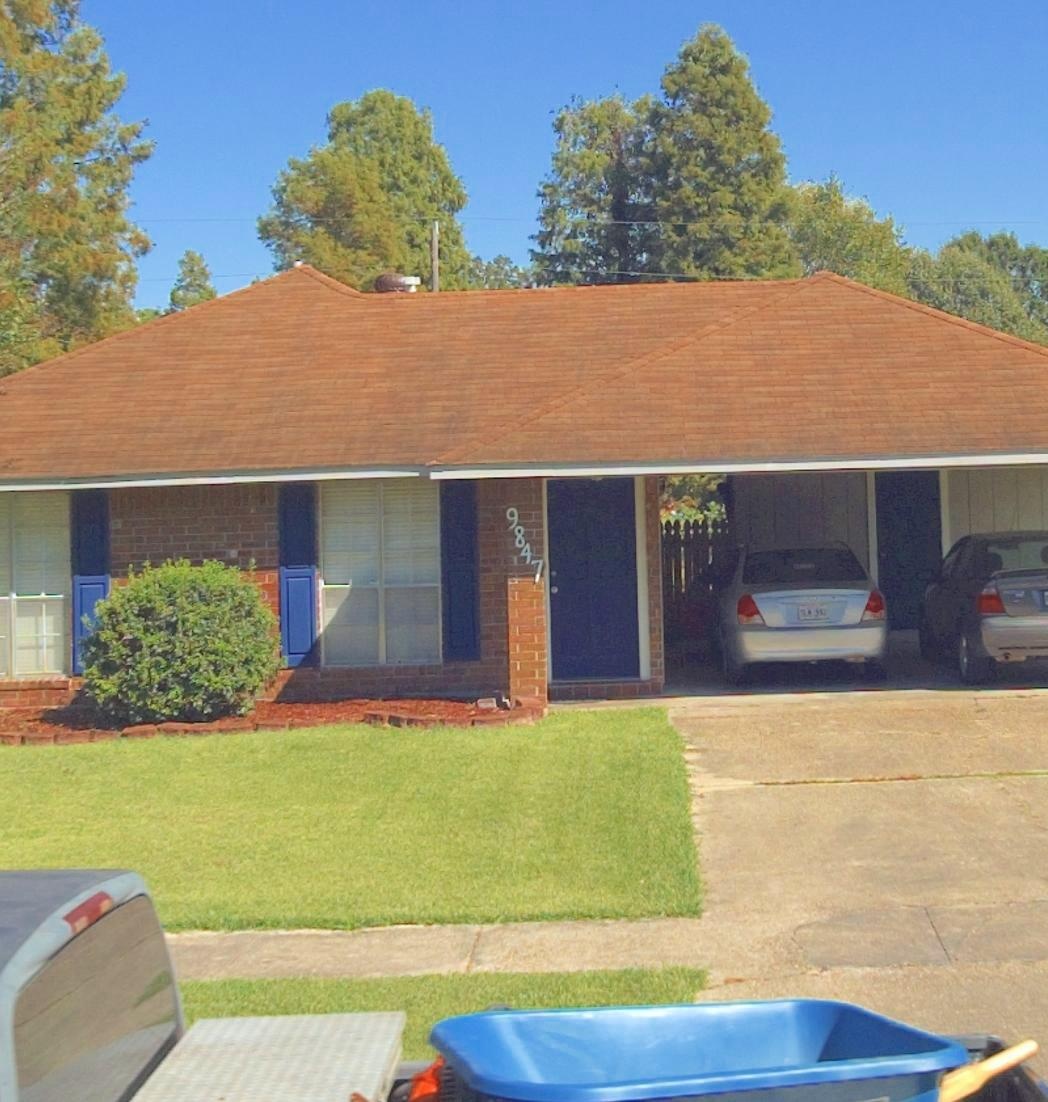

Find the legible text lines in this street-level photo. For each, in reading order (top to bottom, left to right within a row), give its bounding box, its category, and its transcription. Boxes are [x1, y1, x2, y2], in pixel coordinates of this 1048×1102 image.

[505, 503, 545, 588] StreetNumber: 9847